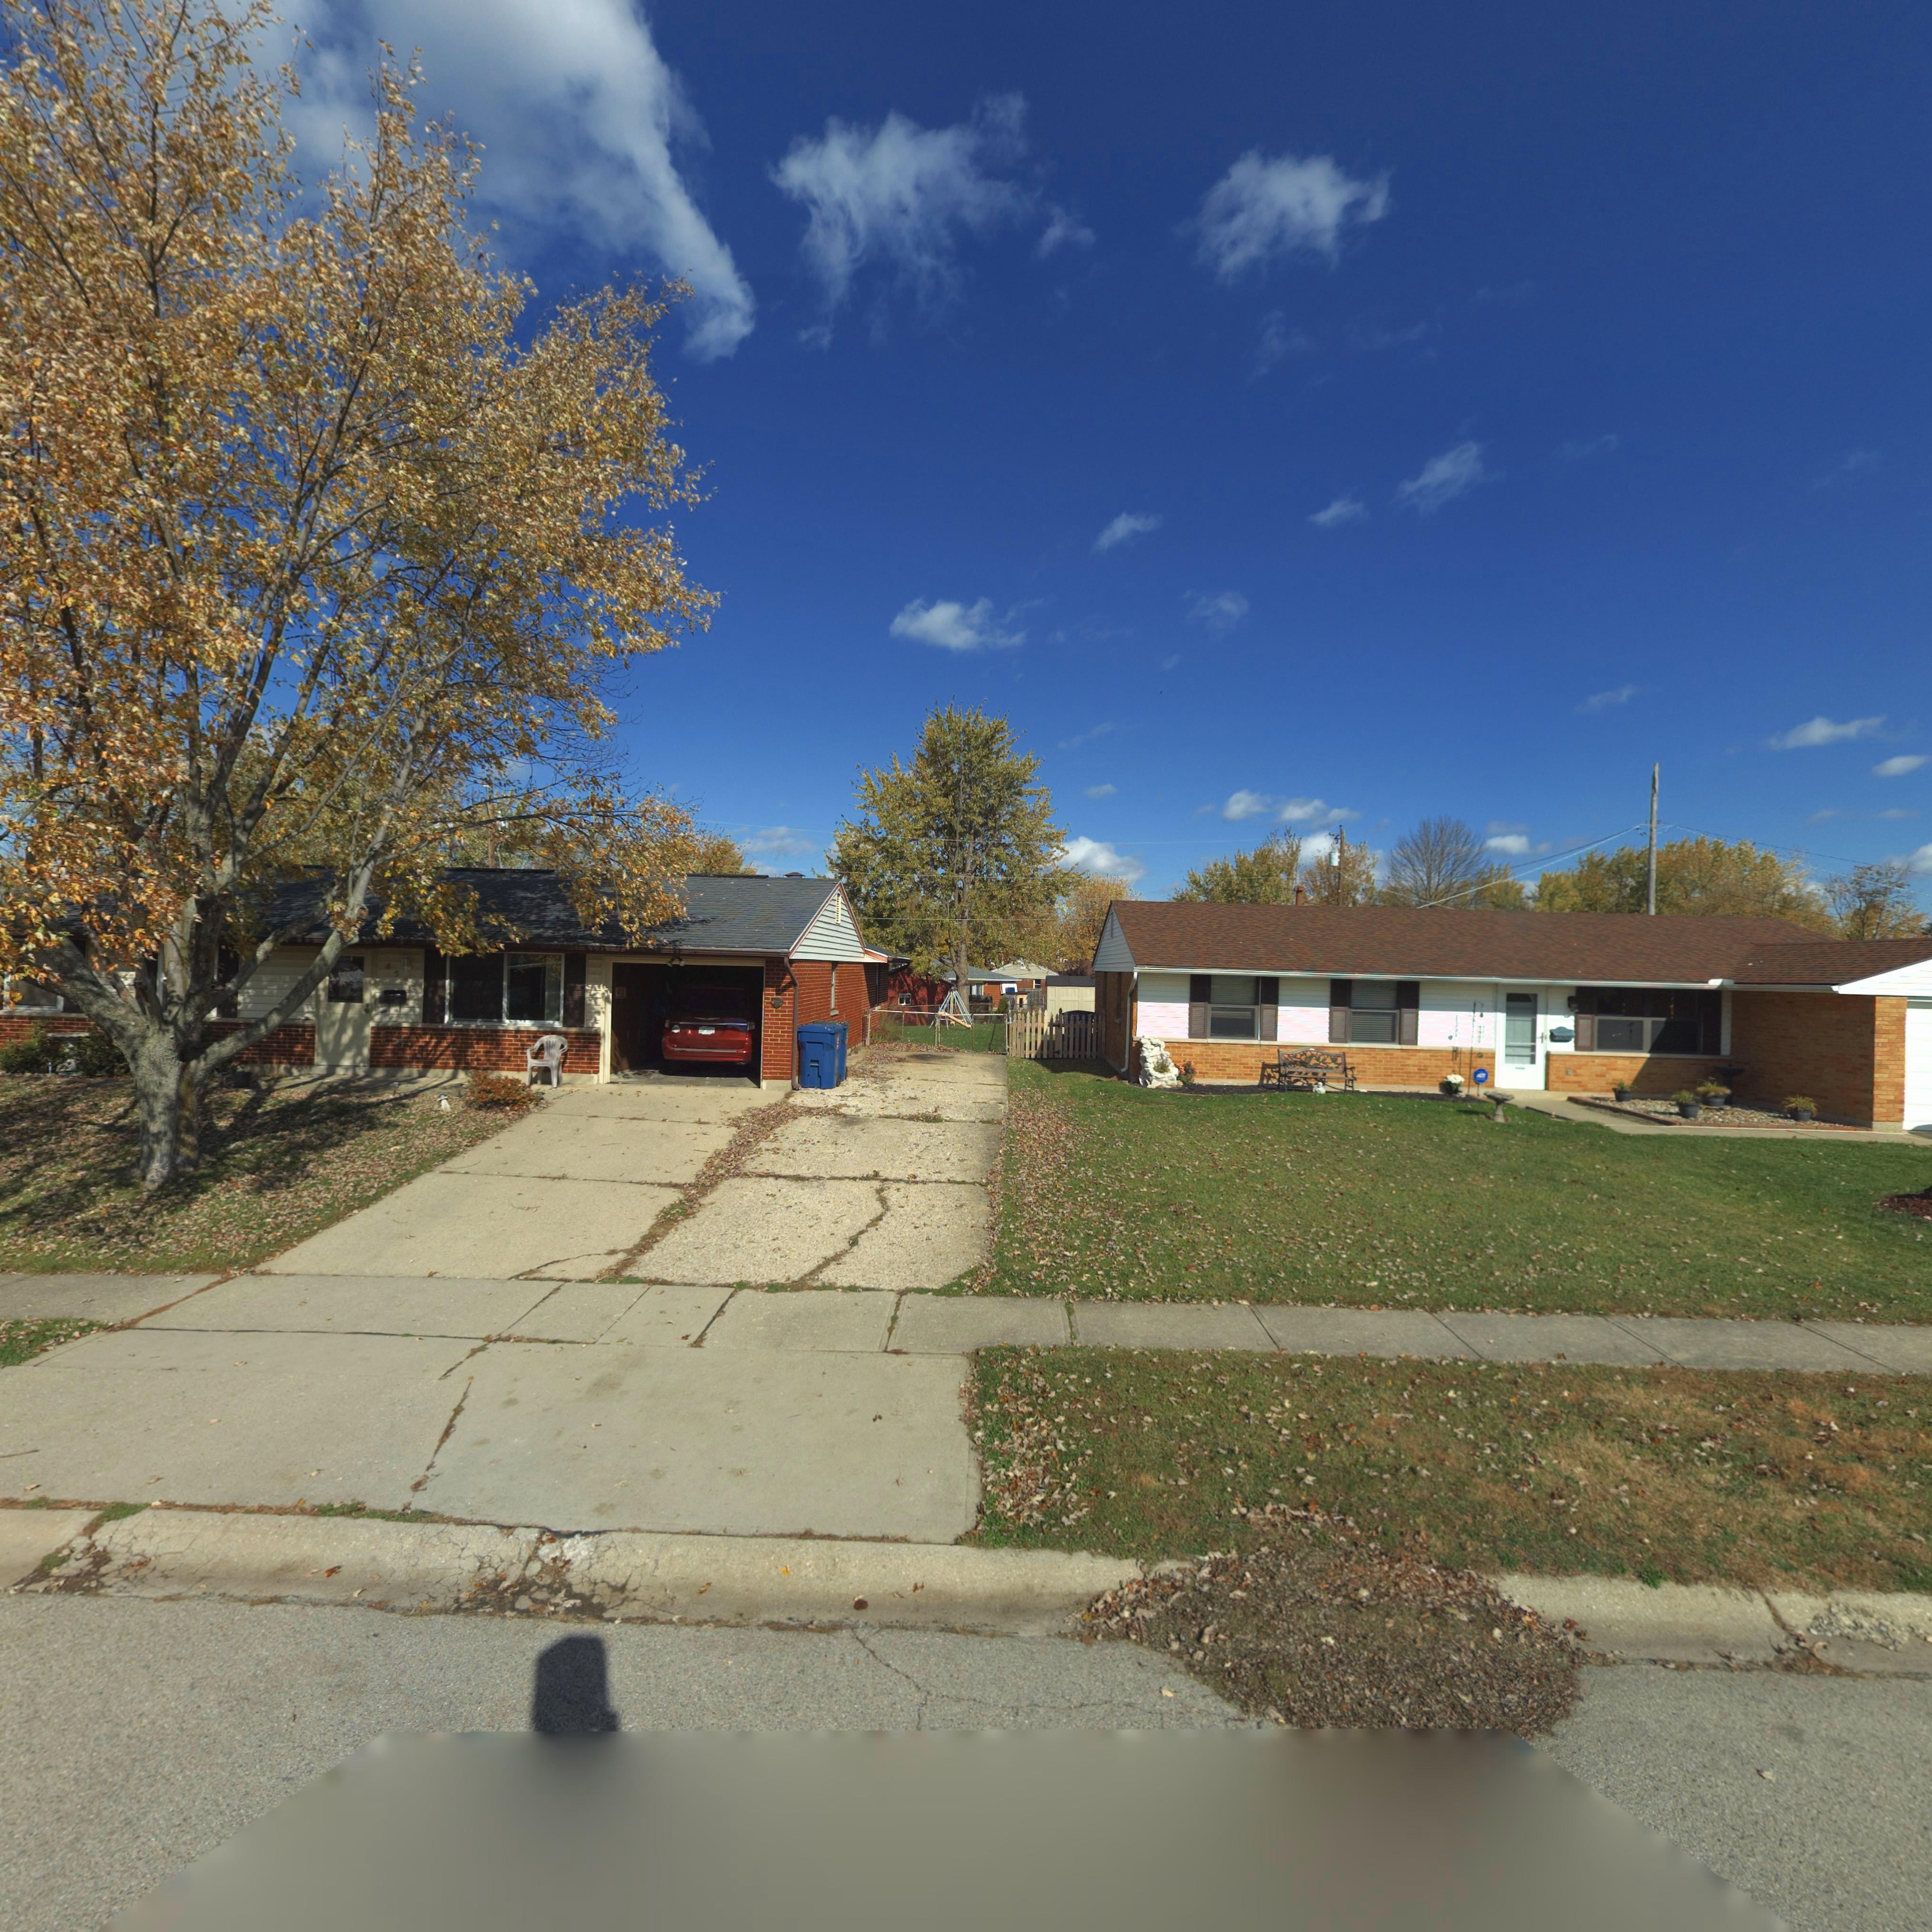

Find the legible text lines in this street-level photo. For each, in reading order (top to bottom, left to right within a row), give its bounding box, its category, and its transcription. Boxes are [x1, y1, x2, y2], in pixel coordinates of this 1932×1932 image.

[386, 962, 416, 993] StreetNumber: 6525